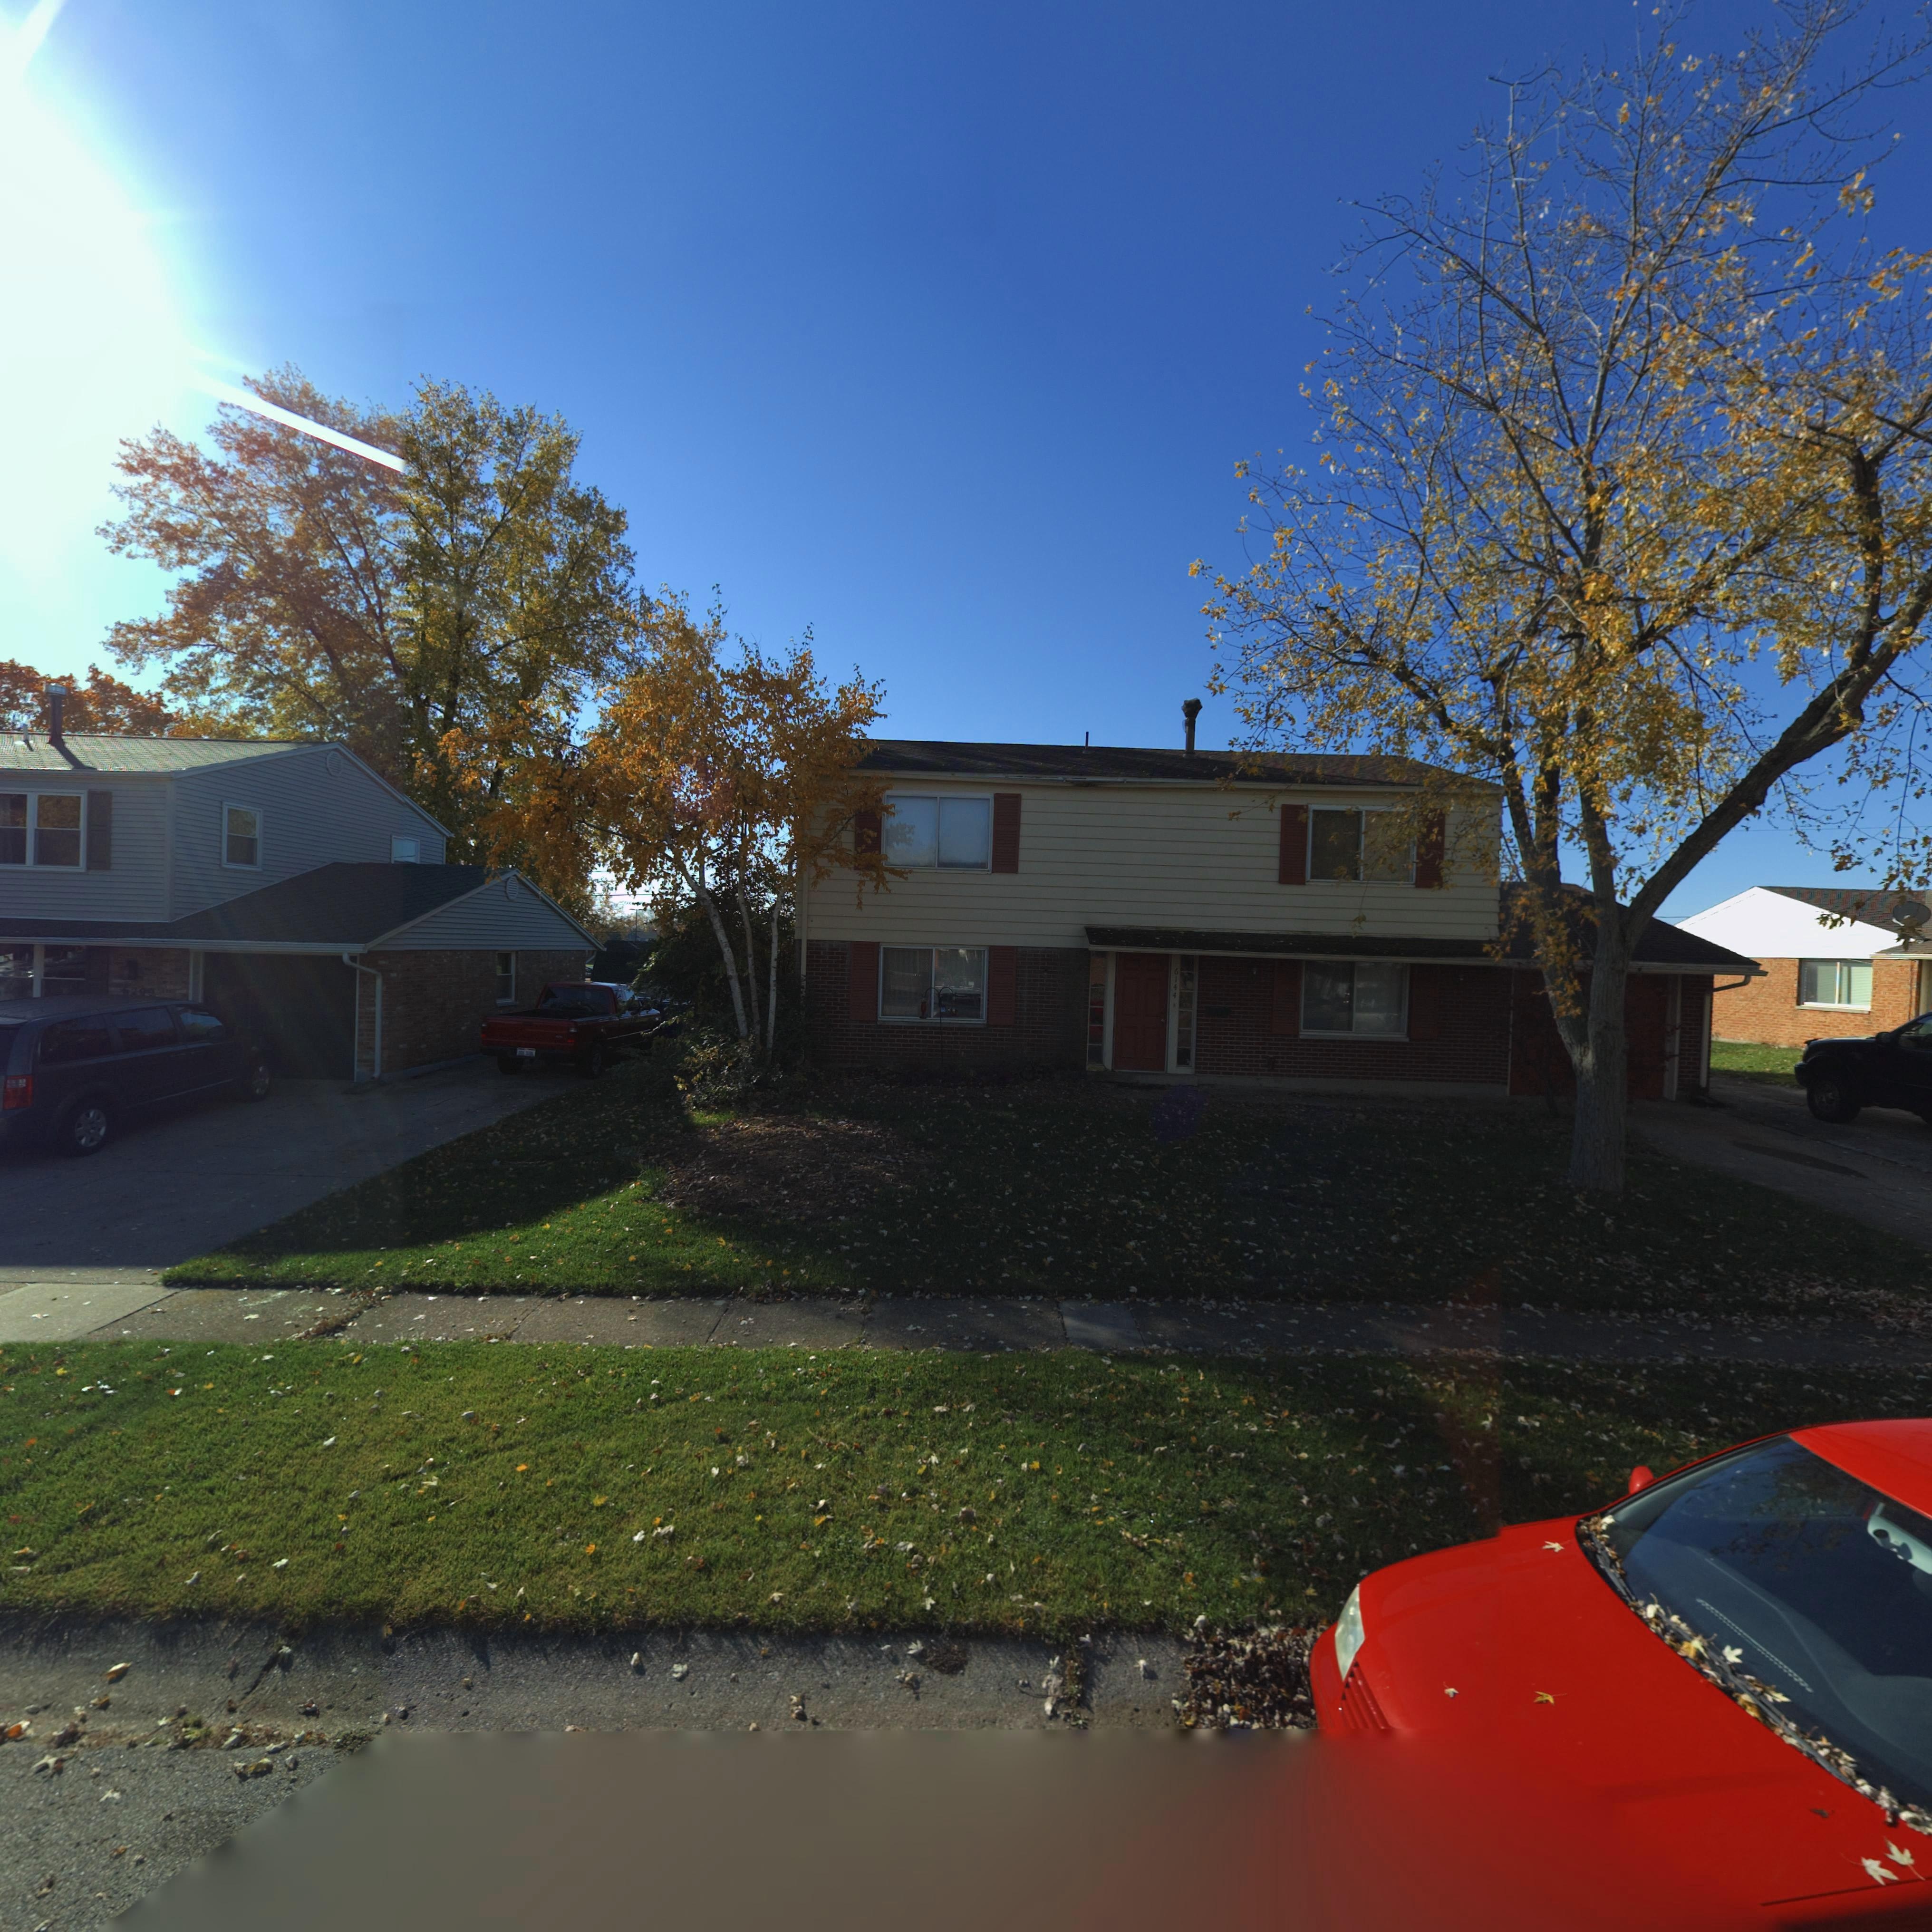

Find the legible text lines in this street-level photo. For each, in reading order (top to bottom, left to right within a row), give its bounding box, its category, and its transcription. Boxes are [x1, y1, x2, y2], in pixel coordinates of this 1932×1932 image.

[121, 985, 156, 997] StreetNumber: 6200
[1172, 967, 1179, 999] StreetNumber: 6144